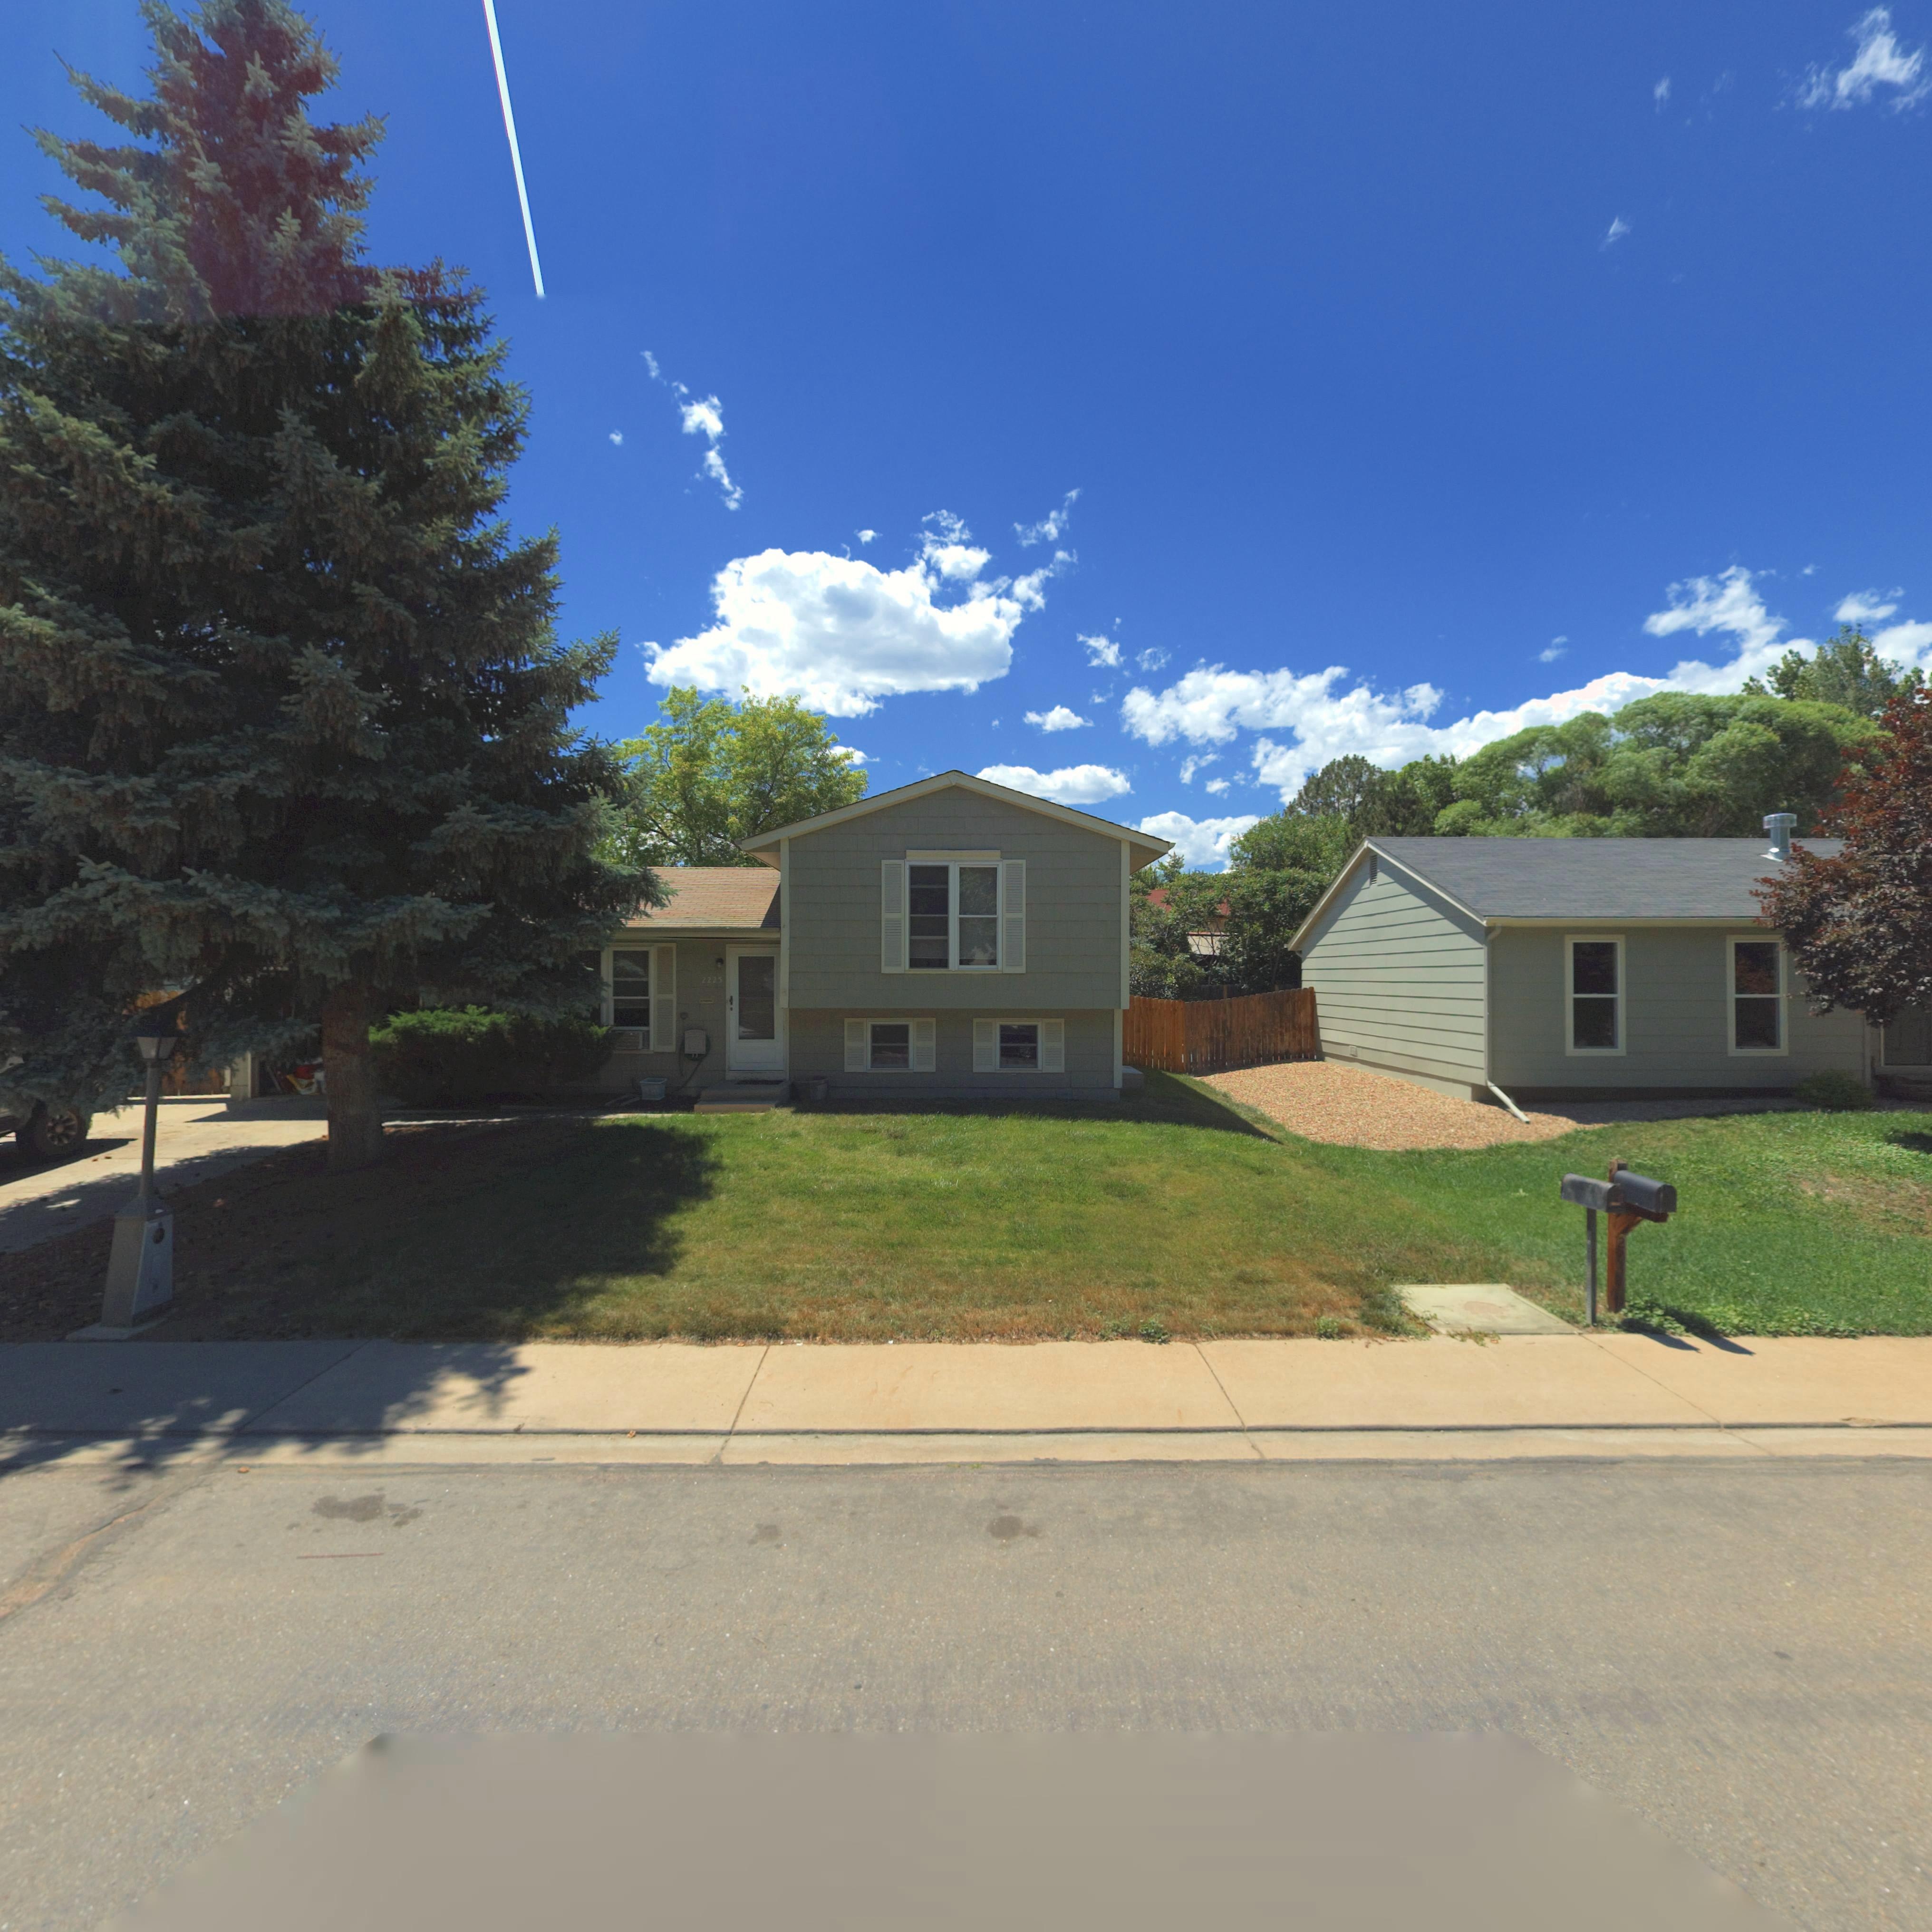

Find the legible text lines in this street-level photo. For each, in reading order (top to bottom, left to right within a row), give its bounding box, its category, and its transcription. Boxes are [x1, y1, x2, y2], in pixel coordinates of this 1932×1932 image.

[701, 976, 722, 983] StreetNumber: 2225